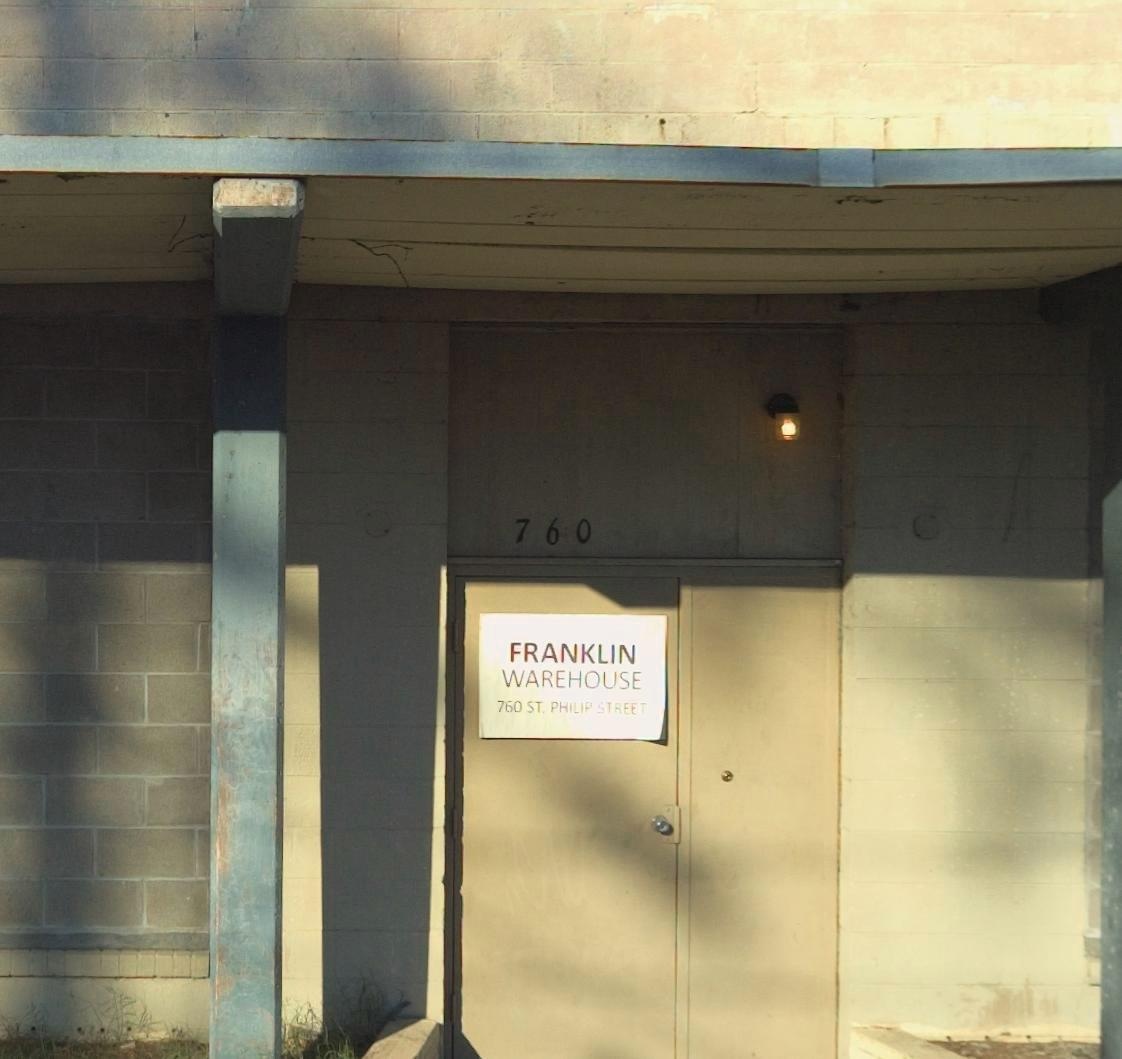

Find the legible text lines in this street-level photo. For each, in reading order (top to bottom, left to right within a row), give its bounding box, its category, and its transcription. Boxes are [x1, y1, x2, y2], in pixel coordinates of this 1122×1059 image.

[511, 514, 596, 549] StreetNumber: 760
[505, 638, 639, 669] BusinessName: FRANKLIN
[497, 666, 644, 695] BusinessName: WAREHOUSE
[493, 697, 526, 716] StreetNumber: 760
[523, 699, 649, 717] StreetName: ST. PHILIP STREET